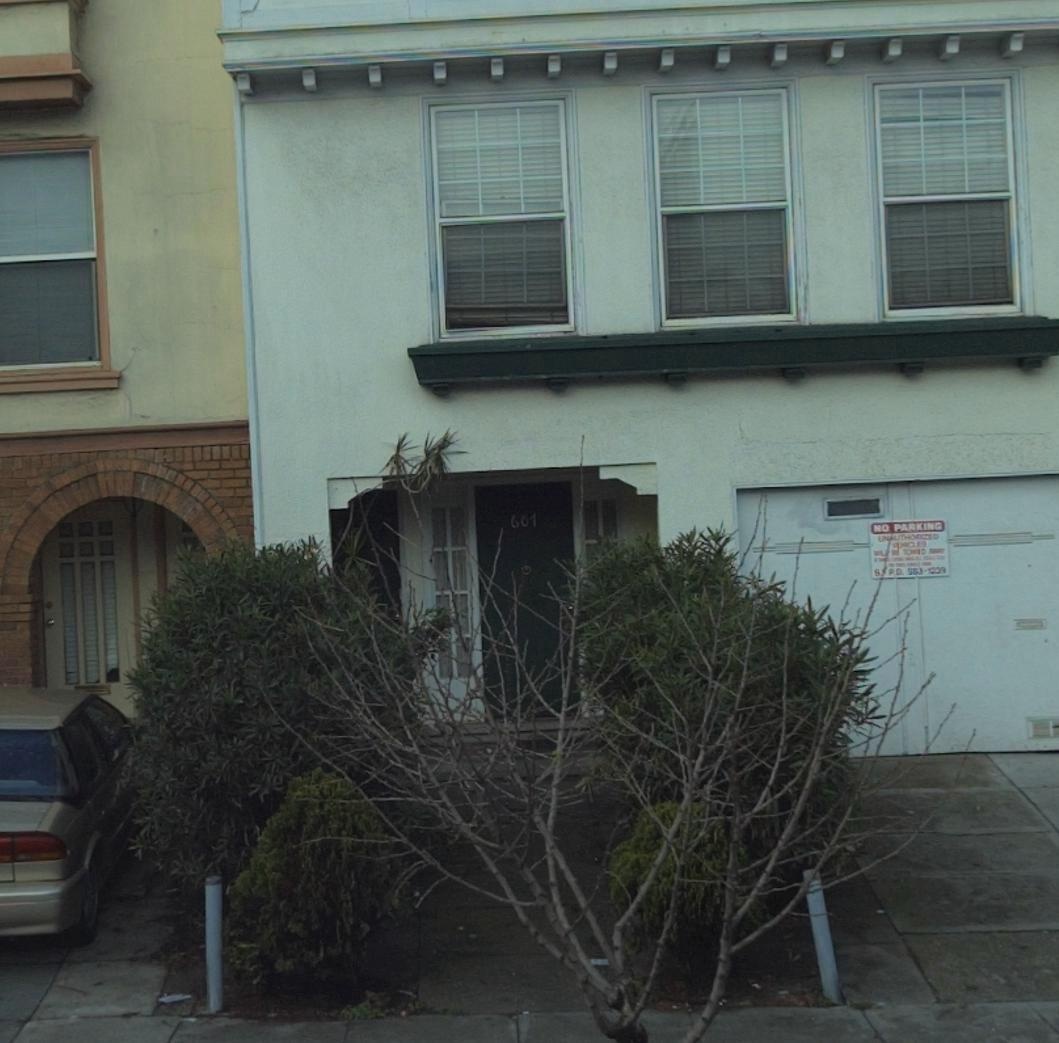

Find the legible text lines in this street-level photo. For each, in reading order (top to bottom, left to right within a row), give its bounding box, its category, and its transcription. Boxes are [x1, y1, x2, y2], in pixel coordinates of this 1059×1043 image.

[509, 510, 539, 532] StreetNumber: 601
[871, 520, 945, 535] None: NO PARKING